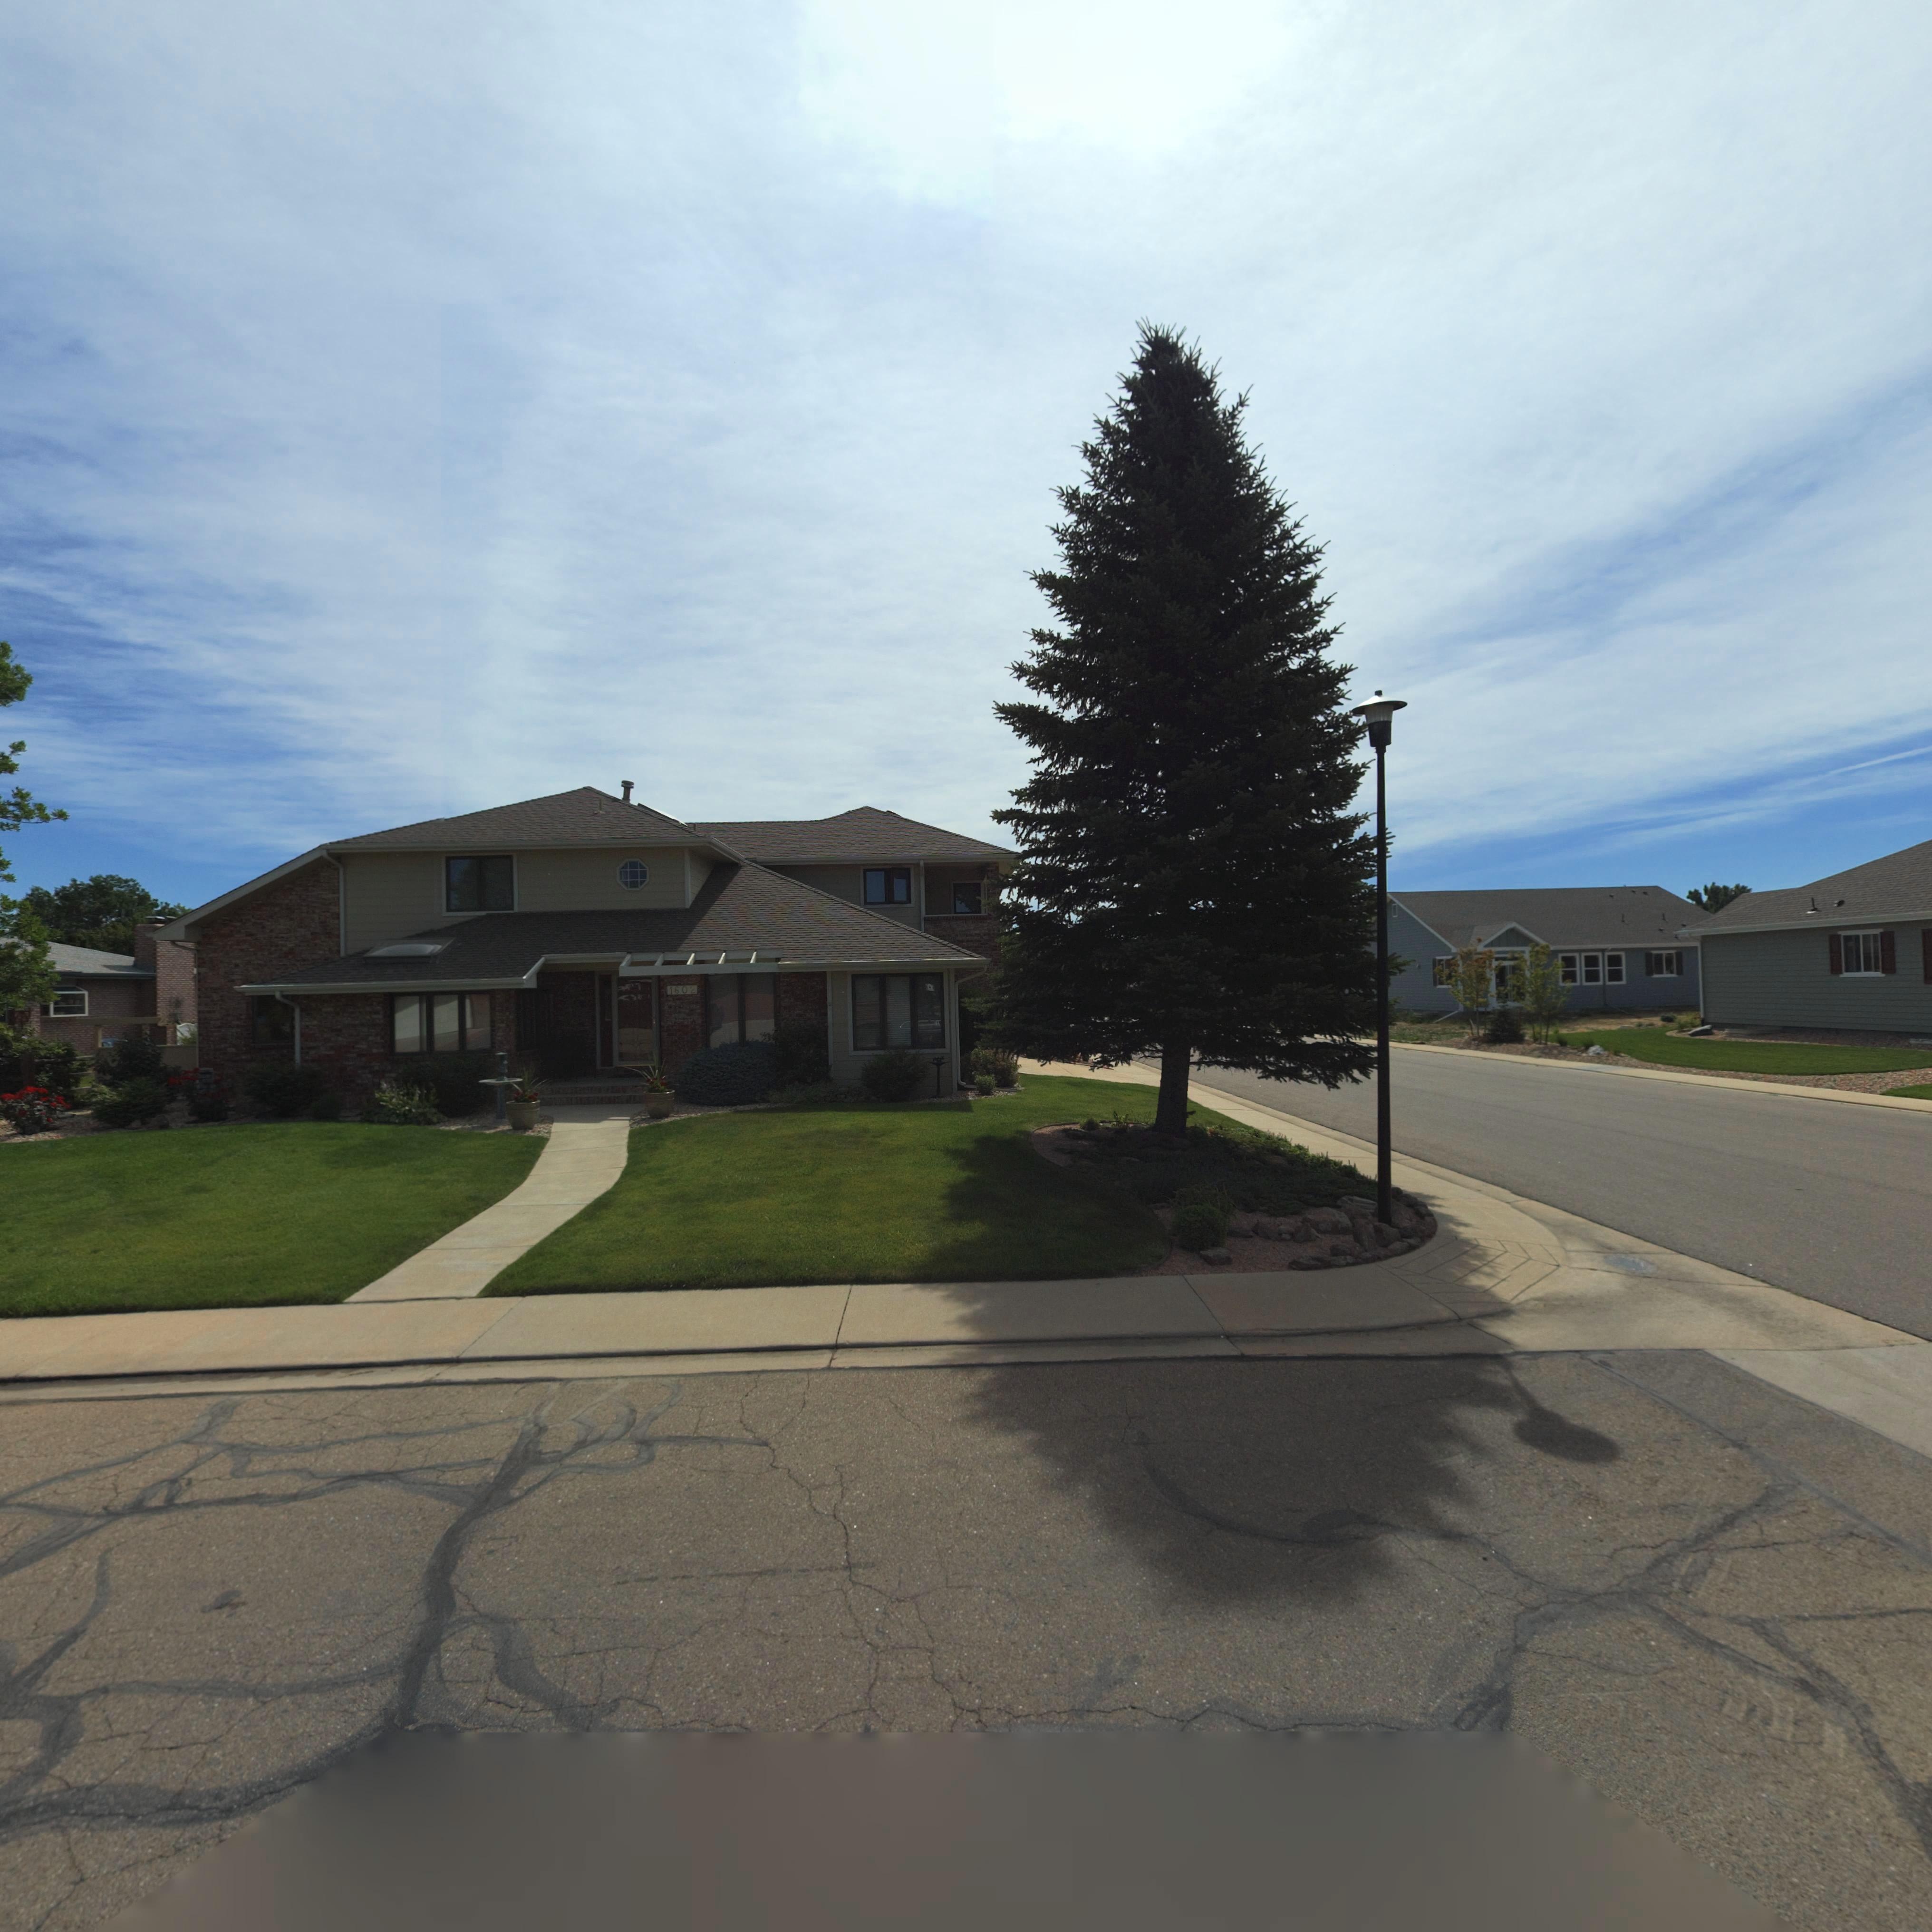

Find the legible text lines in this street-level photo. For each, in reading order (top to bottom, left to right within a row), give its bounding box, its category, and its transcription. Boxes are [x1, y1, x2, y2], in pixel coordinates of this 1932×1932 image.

[667, 985, 697, 995] StreetNumber: 1602